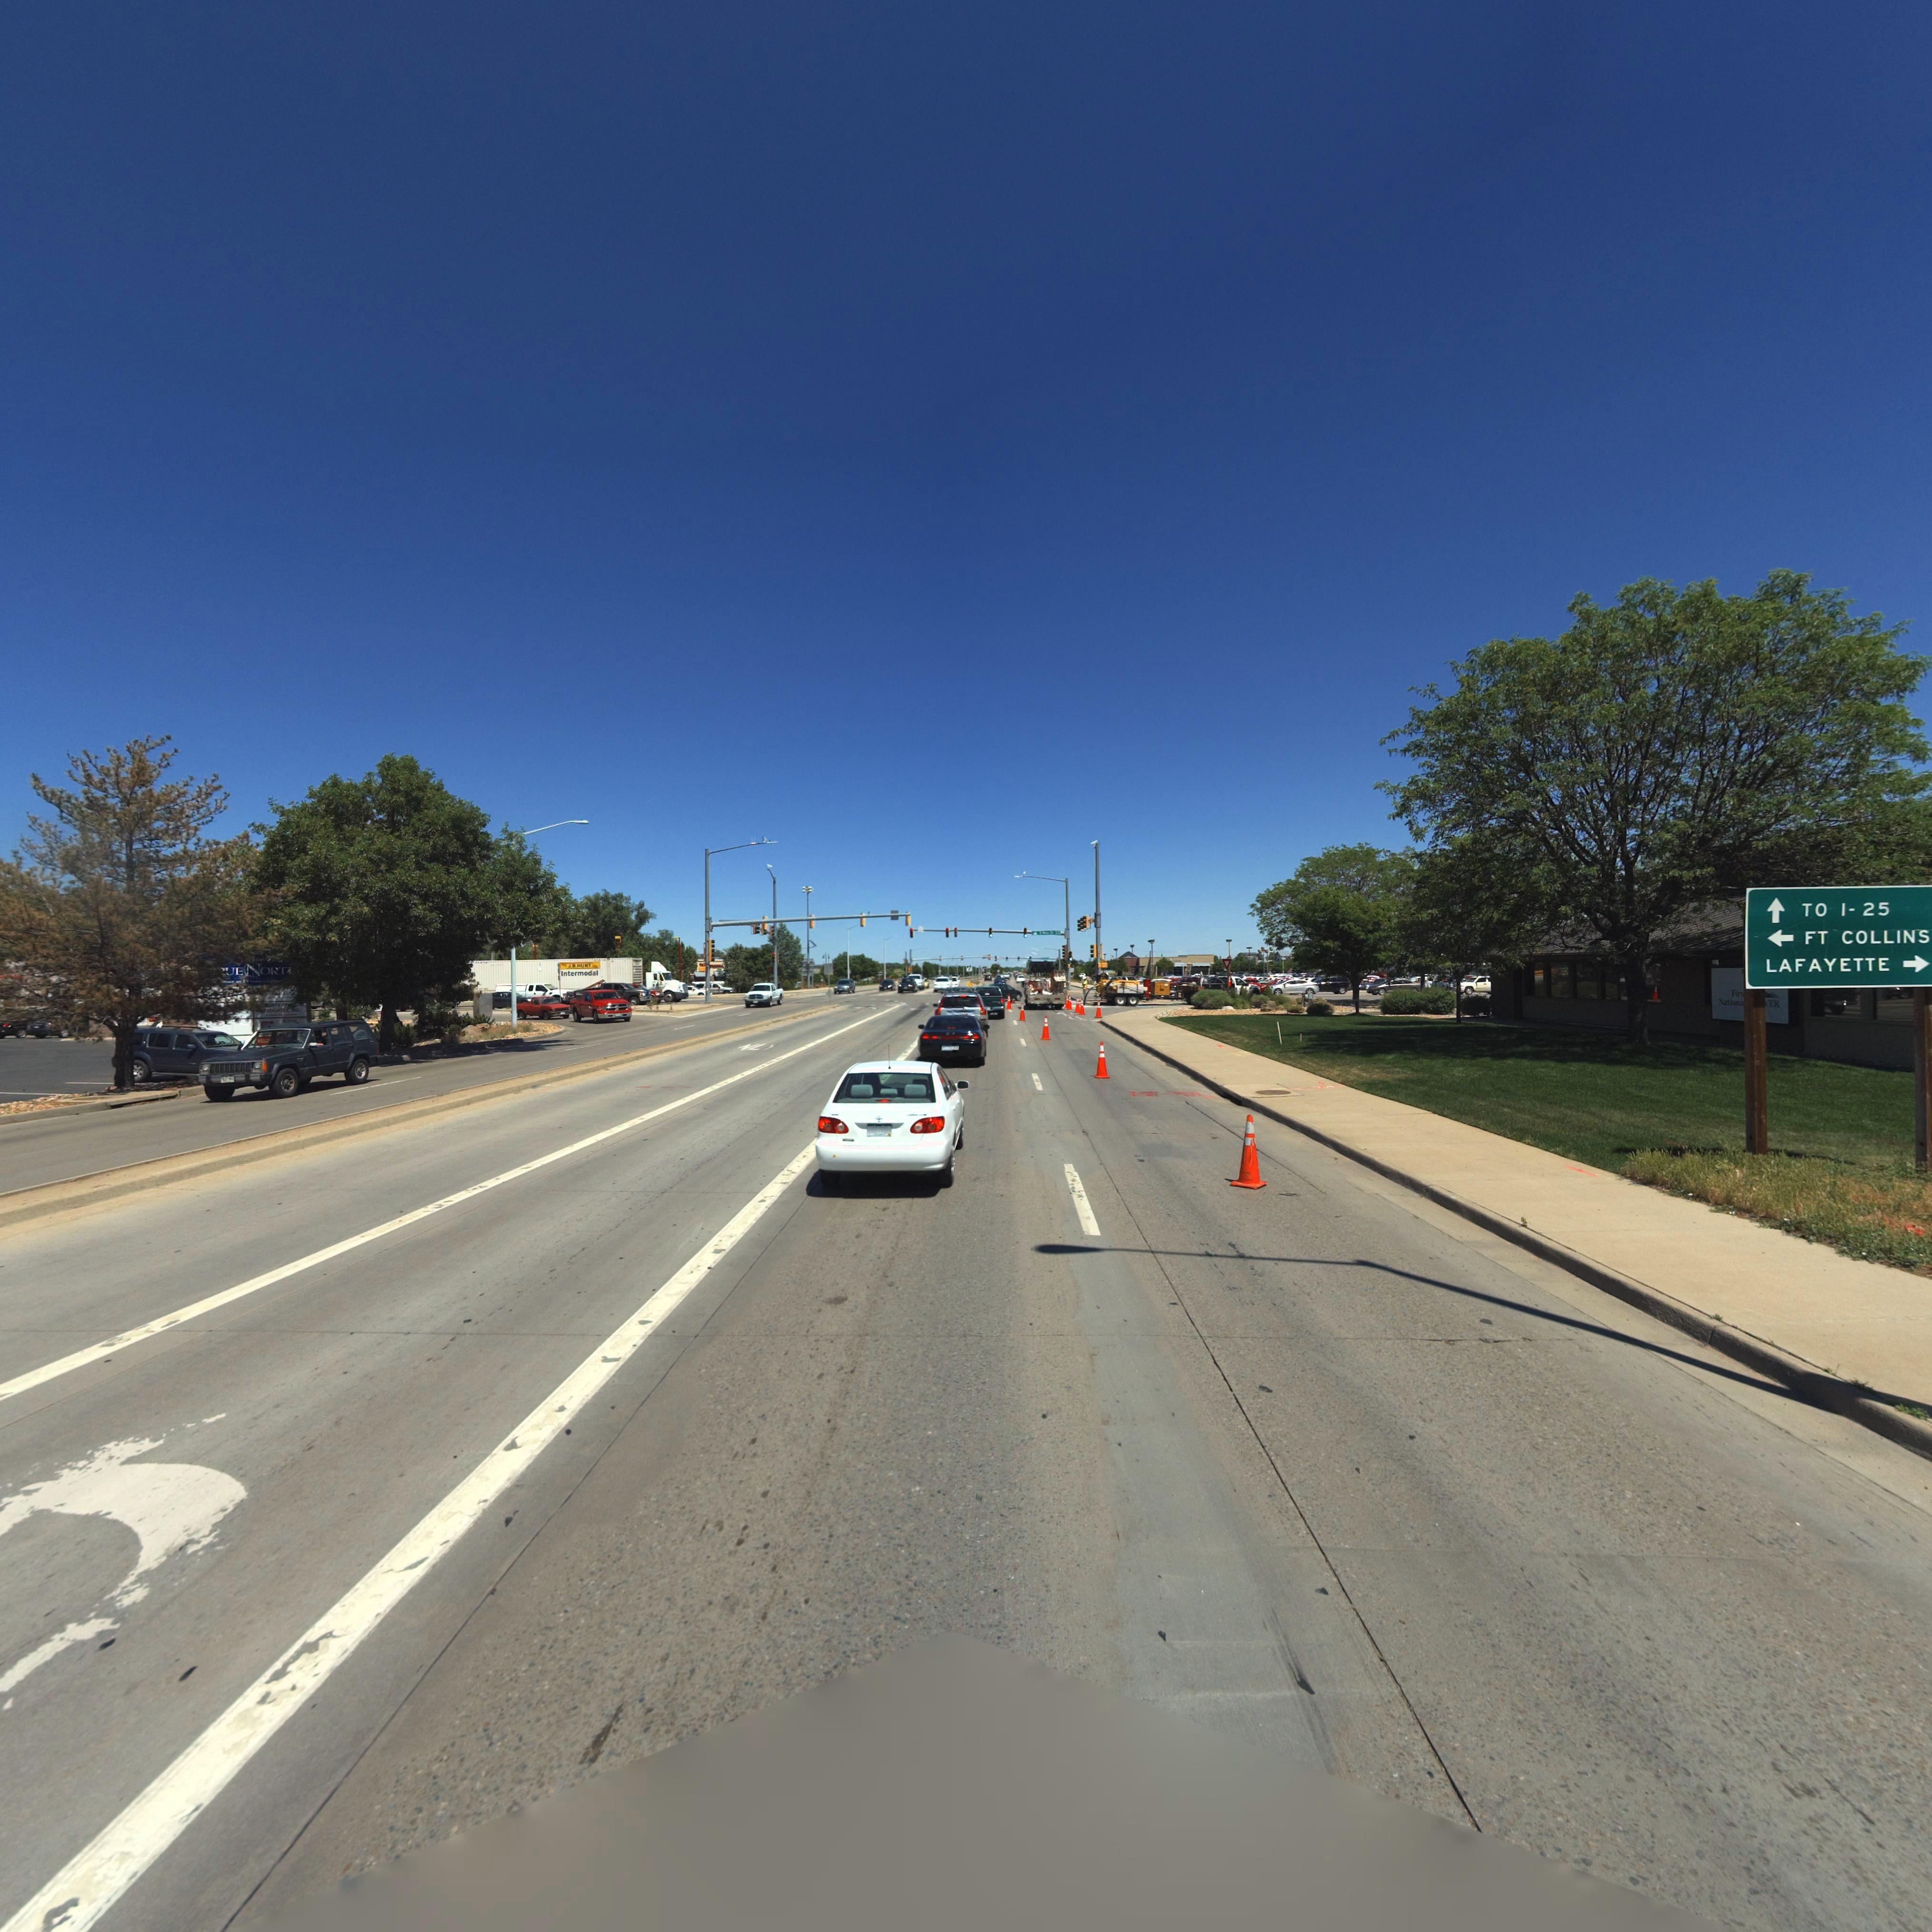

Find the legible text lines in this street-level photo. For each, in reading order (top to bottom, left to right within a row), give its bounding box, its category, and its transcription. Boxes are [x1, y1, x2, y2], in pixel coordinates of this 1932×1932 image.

[1731, 989, 1745, 997] BusinessName: Firs
[262, 1003, 285, 1007] BusinessName: ****TI*
[1719, 997, 1740, 1005] BusinessName: Natio
[1763, 1000, 1780, 1008] BusinessName: VER
[266, 1008, 282, 1013] BusinessName: SOC****